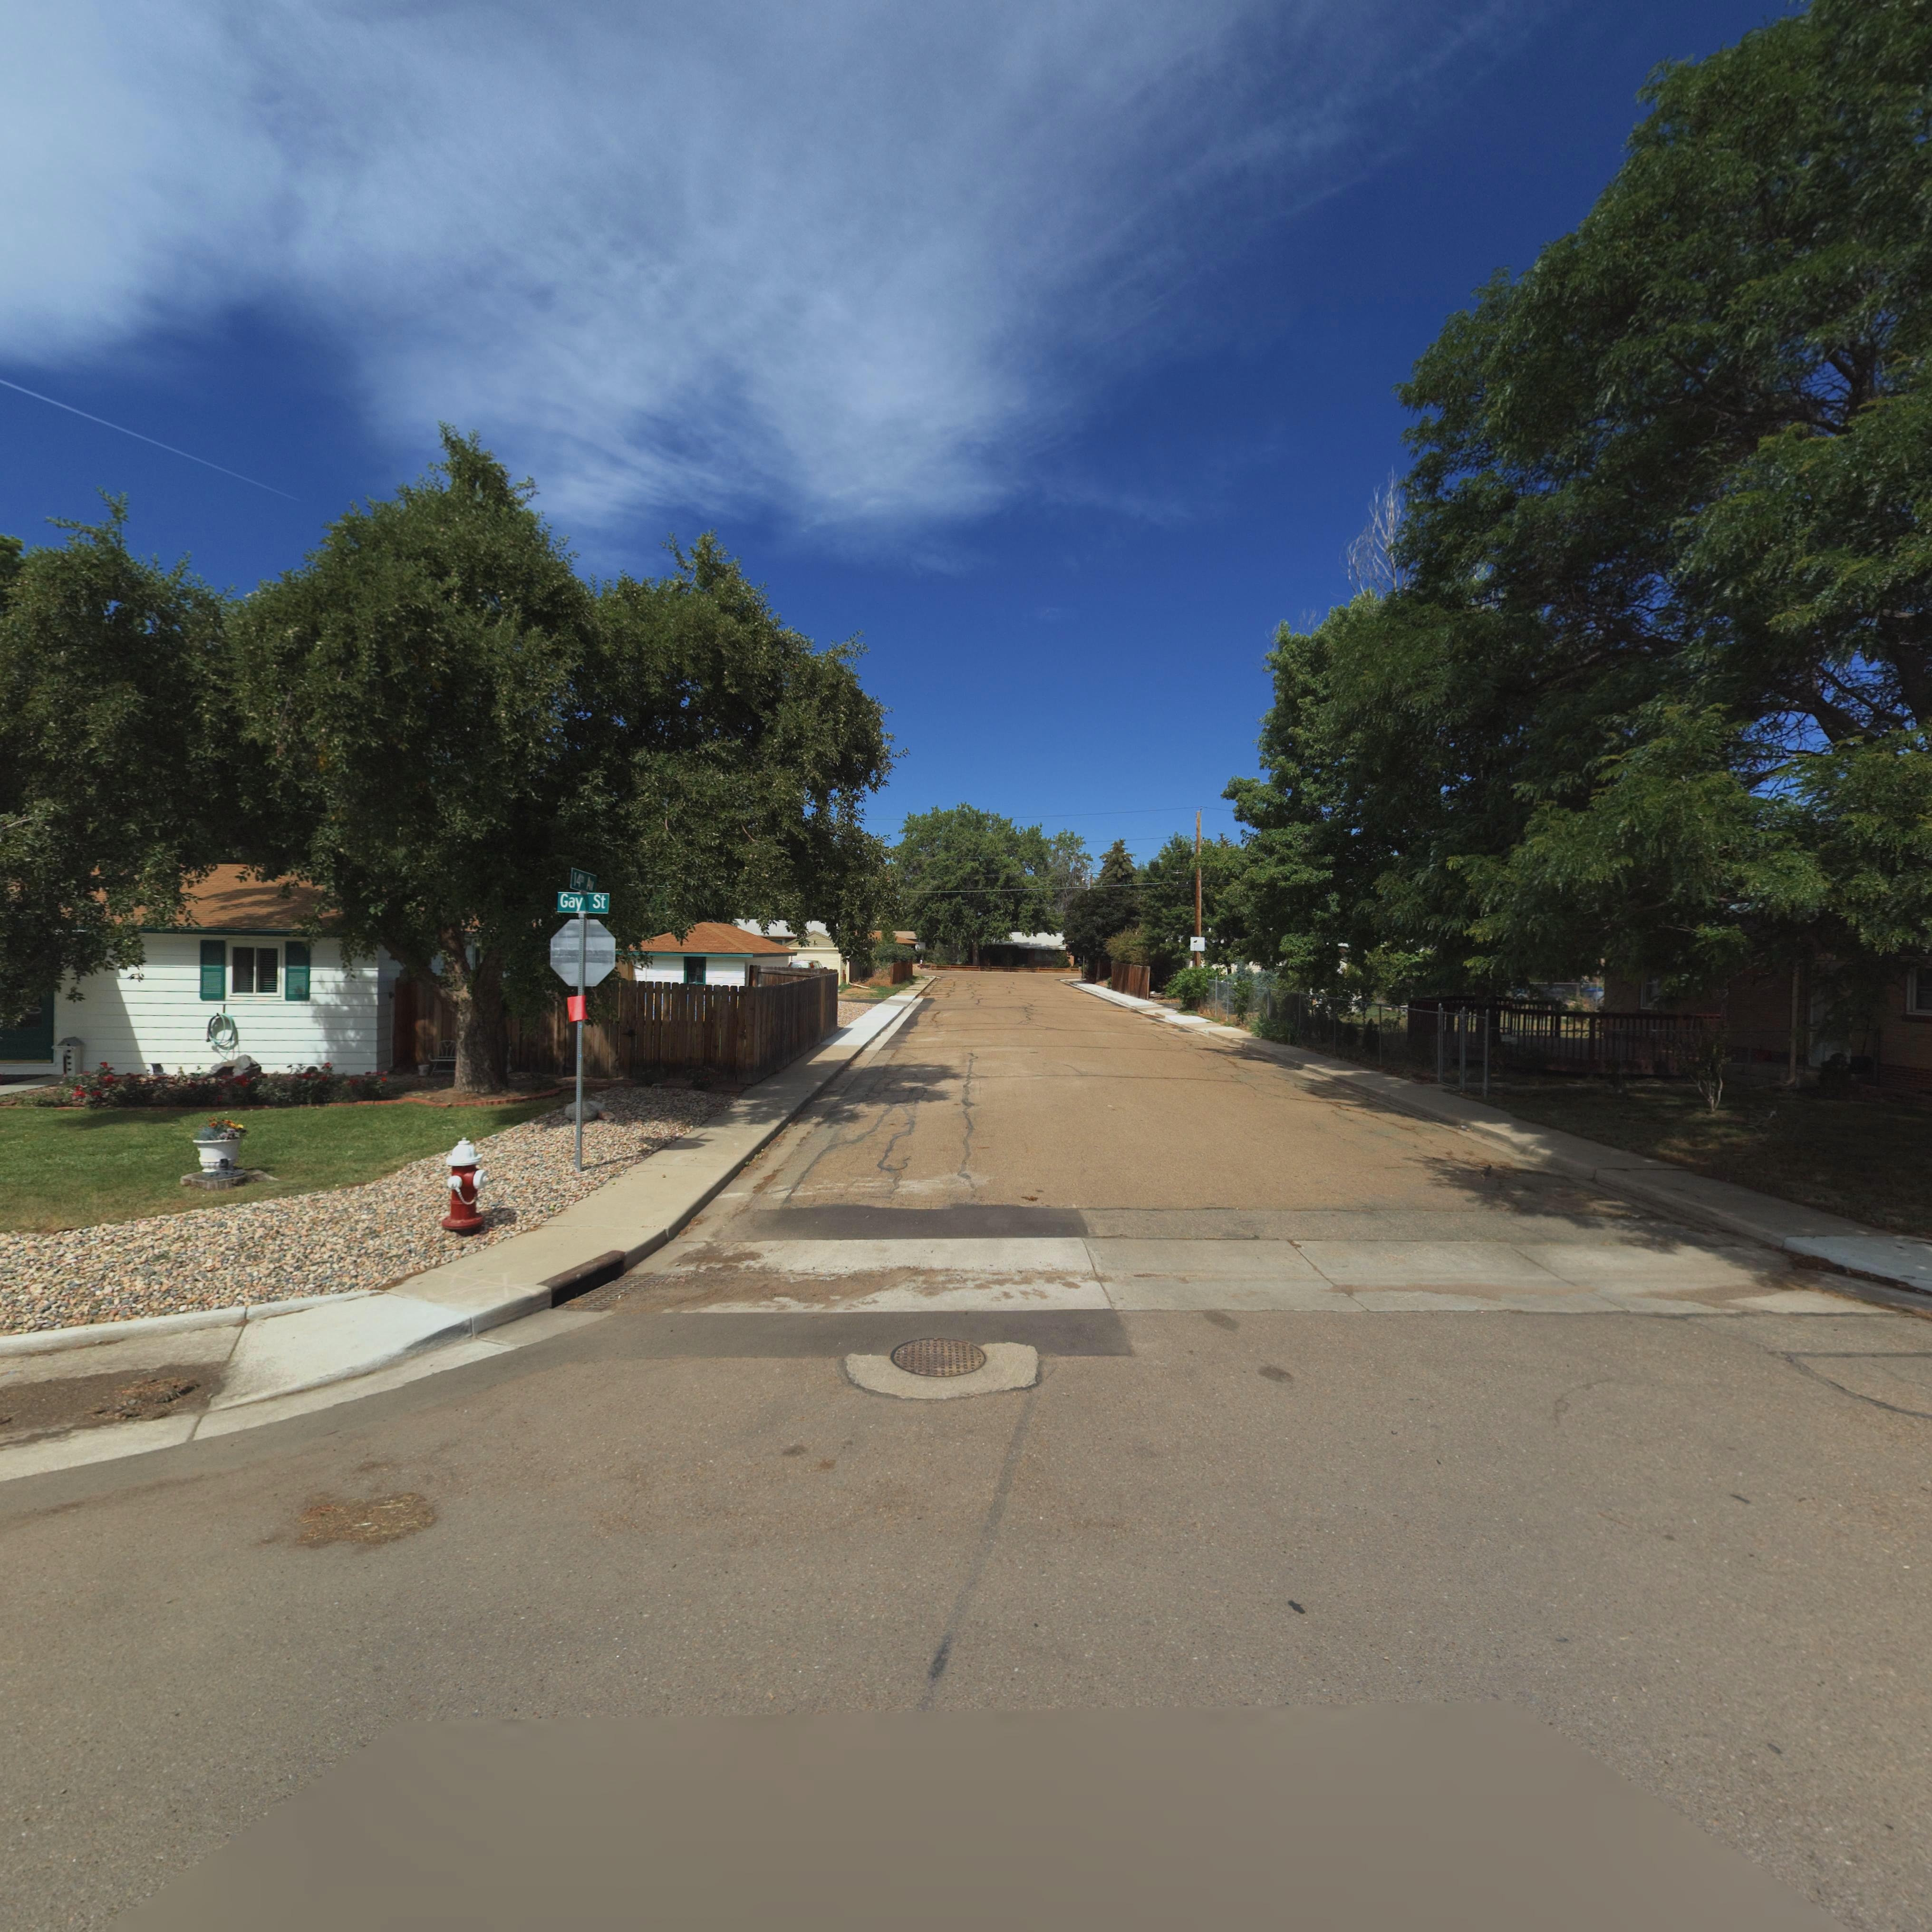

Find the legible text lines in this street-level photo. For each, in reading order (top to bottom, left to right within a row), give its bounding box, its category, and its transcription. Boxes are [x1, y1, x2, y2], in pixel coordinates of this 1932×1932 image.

[573, 871, 595, 891] StreetName: 14* Av
[559, 893, 607, 912] StreetName: Gay St